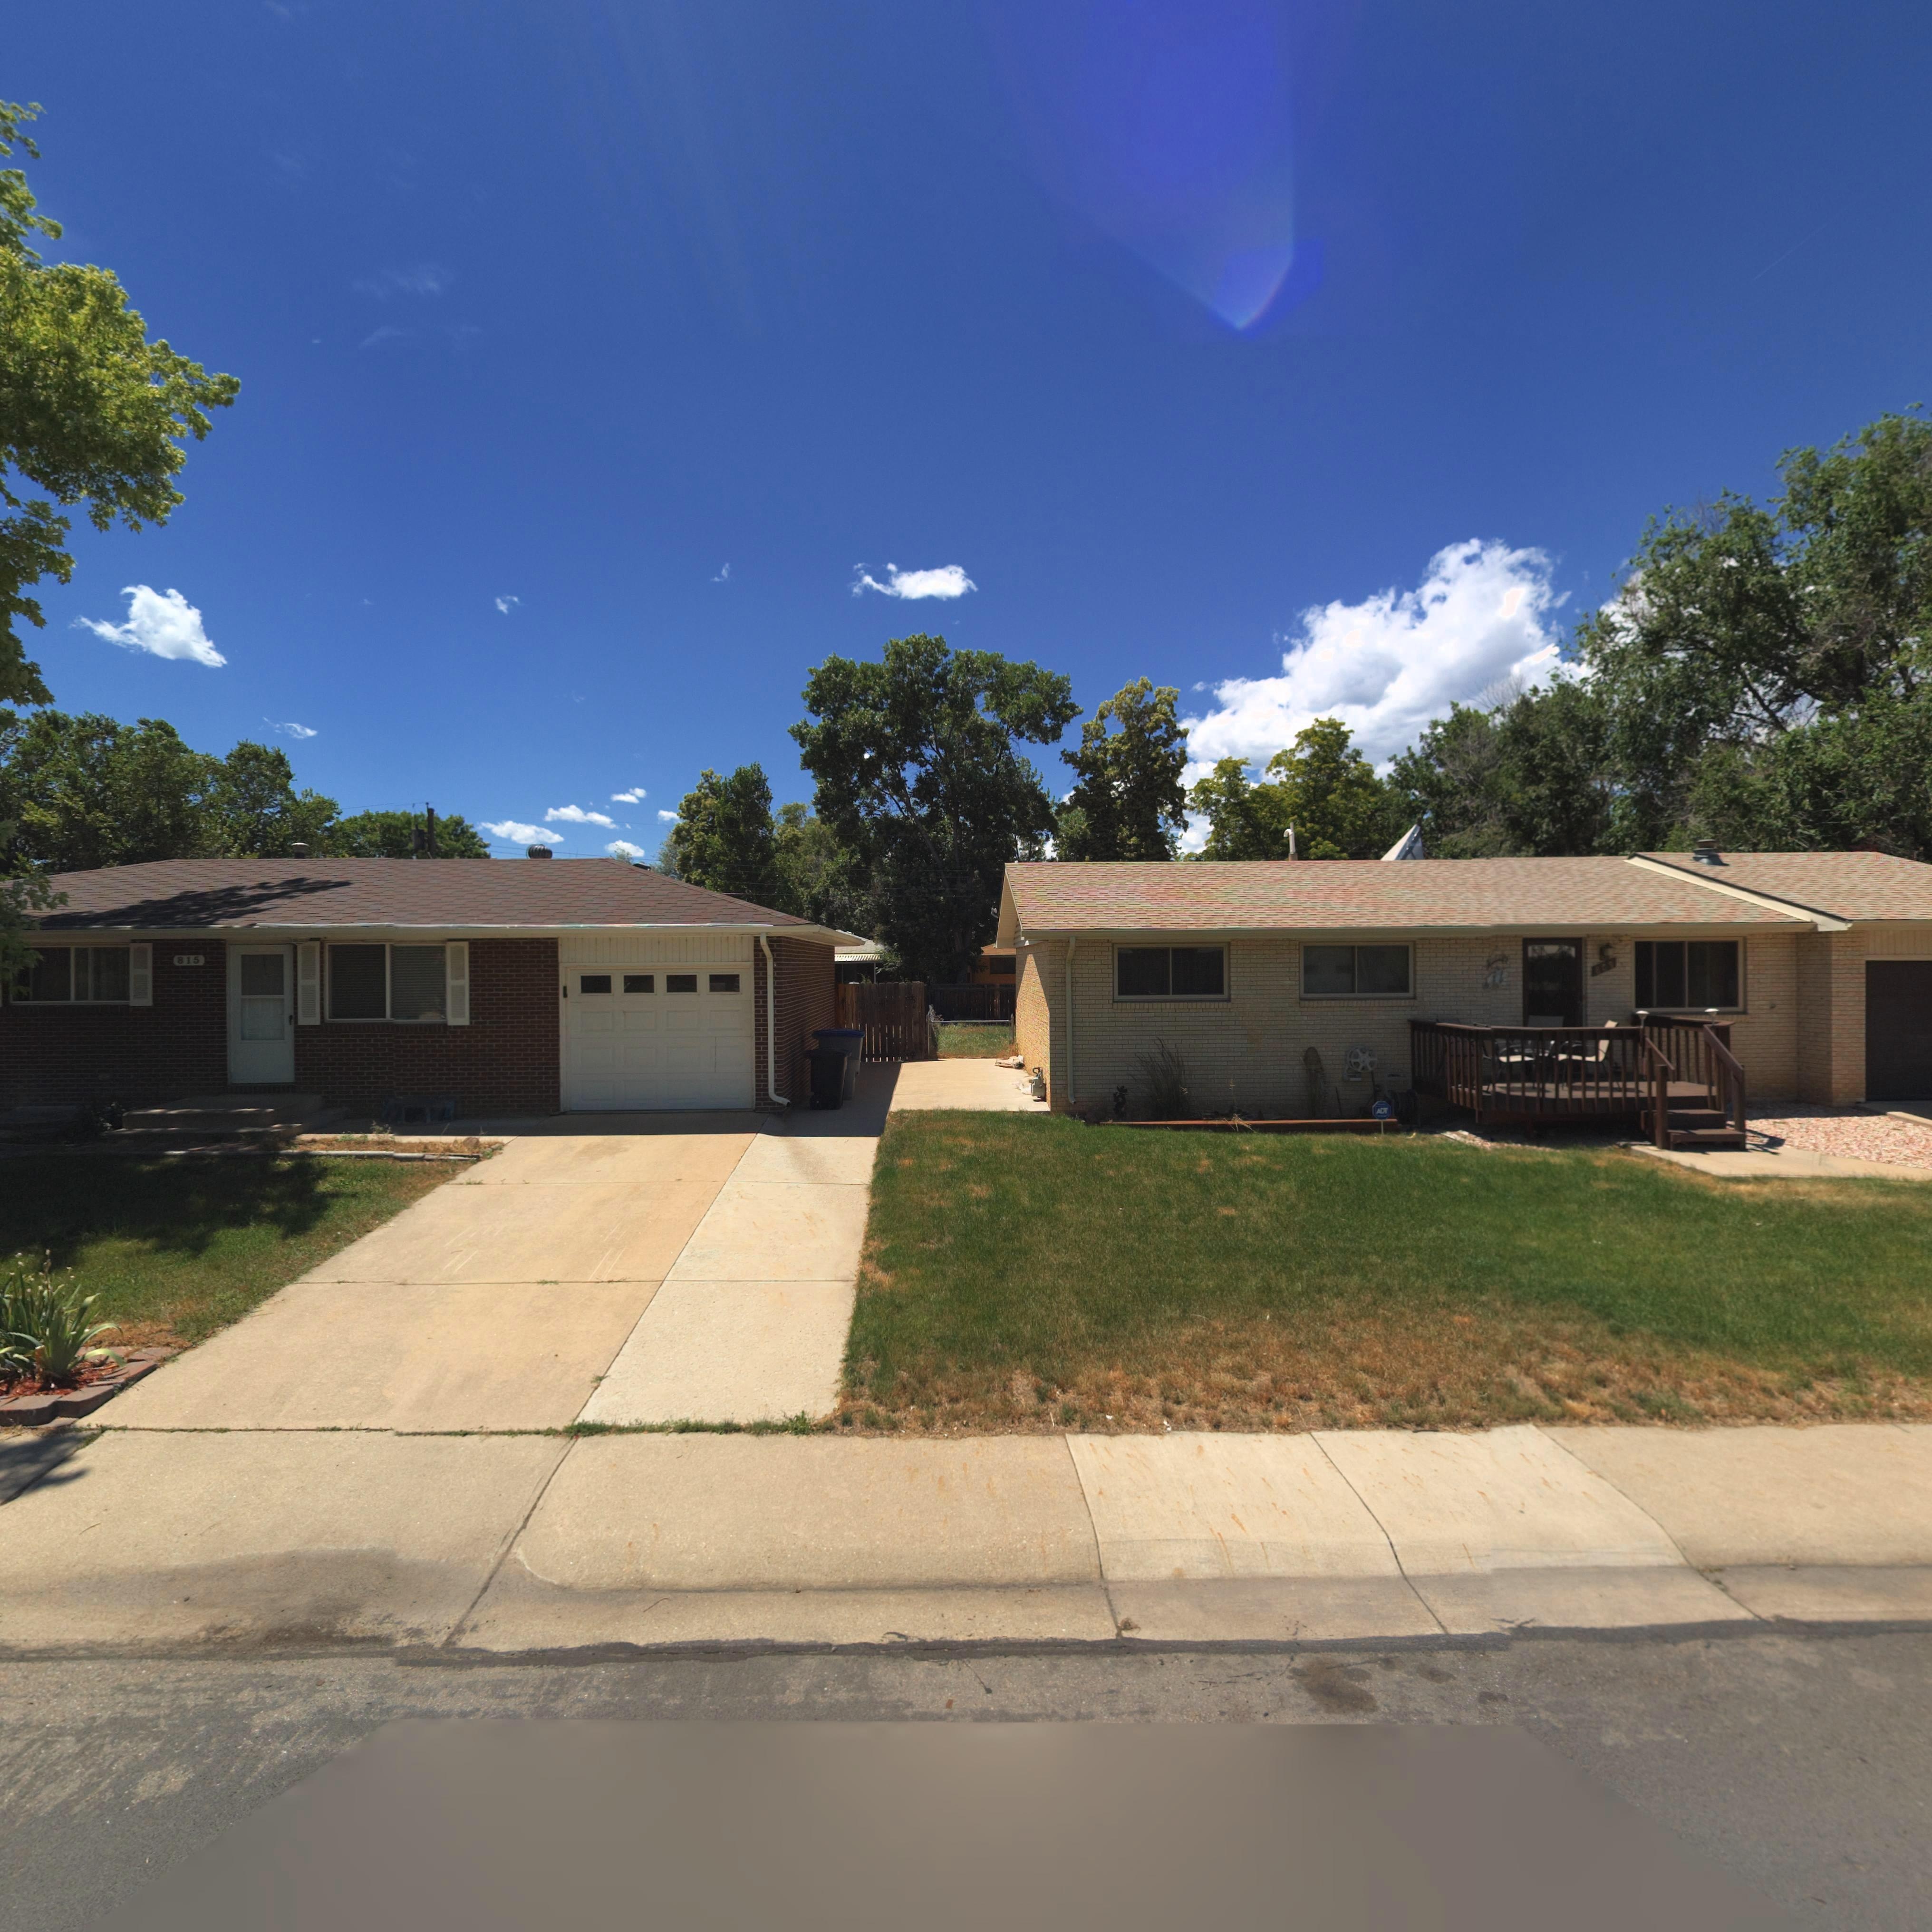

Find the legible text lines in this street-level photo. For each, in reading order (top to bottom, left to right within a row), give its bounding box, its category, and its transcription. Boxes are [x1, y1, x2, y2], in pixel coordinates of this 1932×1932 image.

[177, 956, 200, 964] StreetNumber: 815
[1594, 959, 1614, 975] StreetNumber: 809